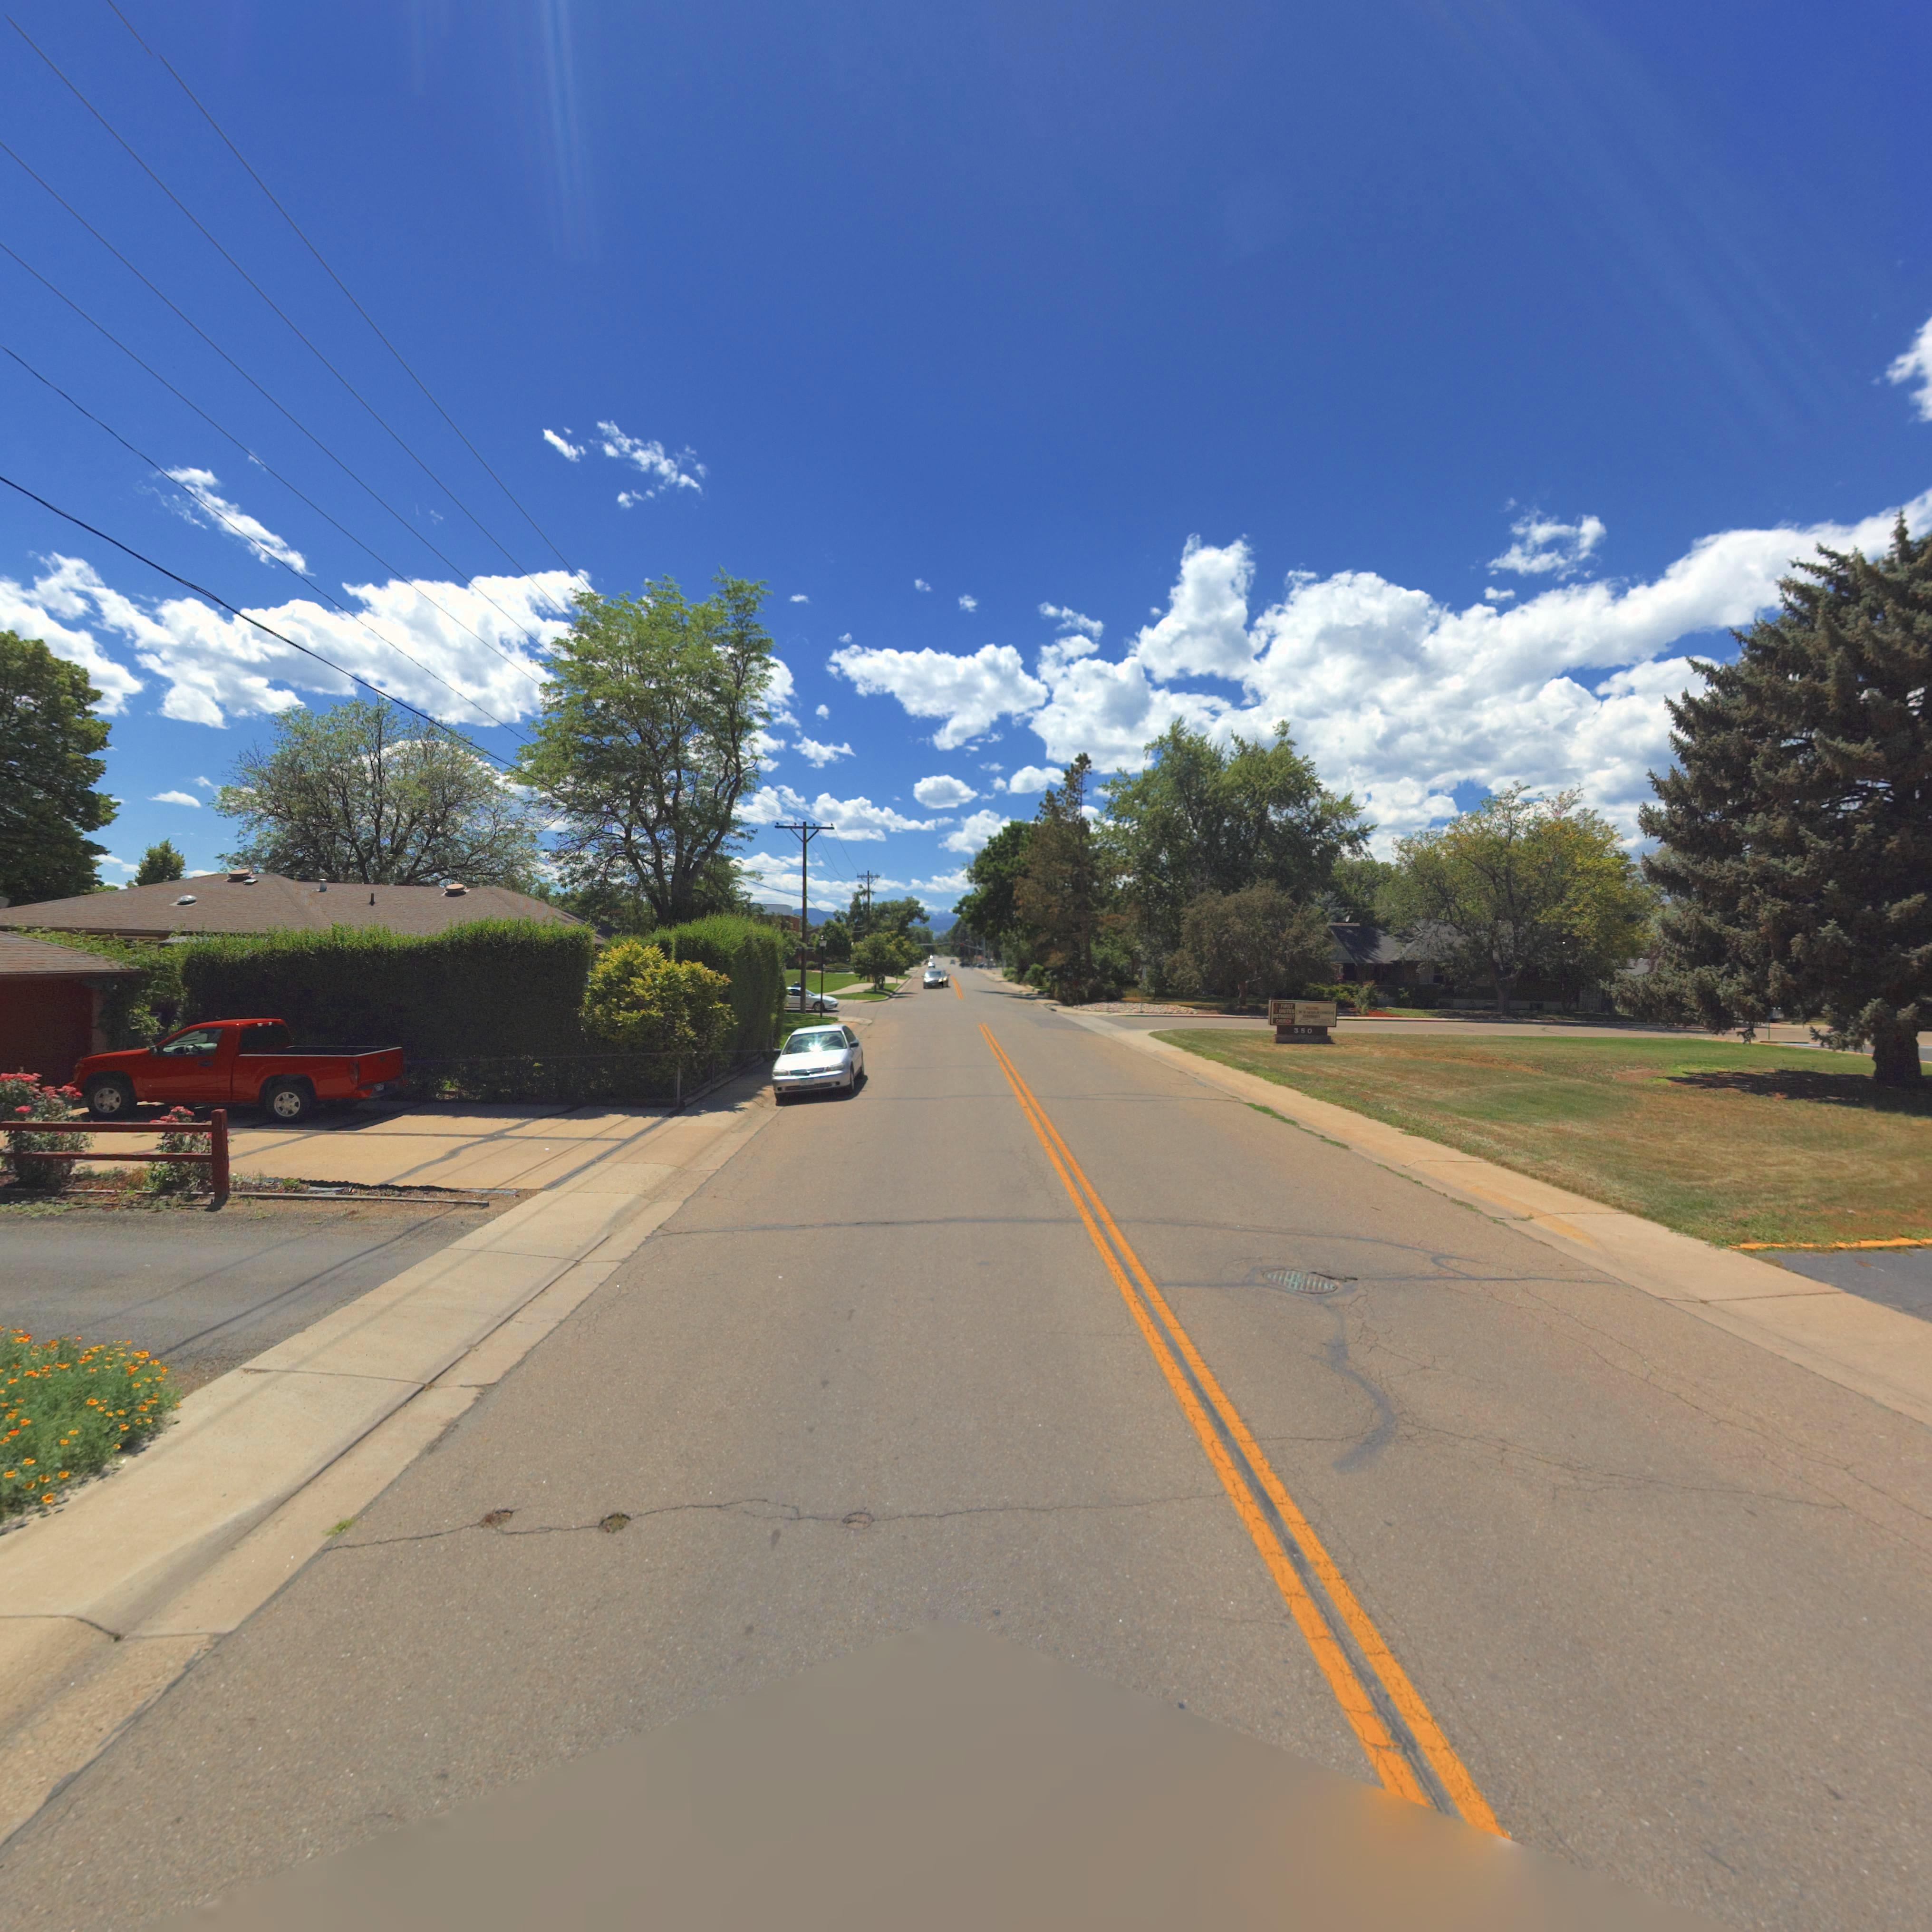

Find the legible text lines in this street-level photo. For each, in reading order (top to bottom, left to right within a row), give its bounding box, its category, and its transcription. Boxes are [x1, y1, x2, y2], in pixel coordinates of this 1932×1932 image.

[1280, 1004, 1293, 1008] BusinessName: FIRST
[1278, 1008, 1294, 1014] BusinessName: UNITED
[1276, 1013, 1294, 1019] BusinessName: ETHODIST
[1275, 1018, 1292, 1024] BusinessName: CH**CH
[1293, 1028, 1312, 1034] StreetNumber: 350